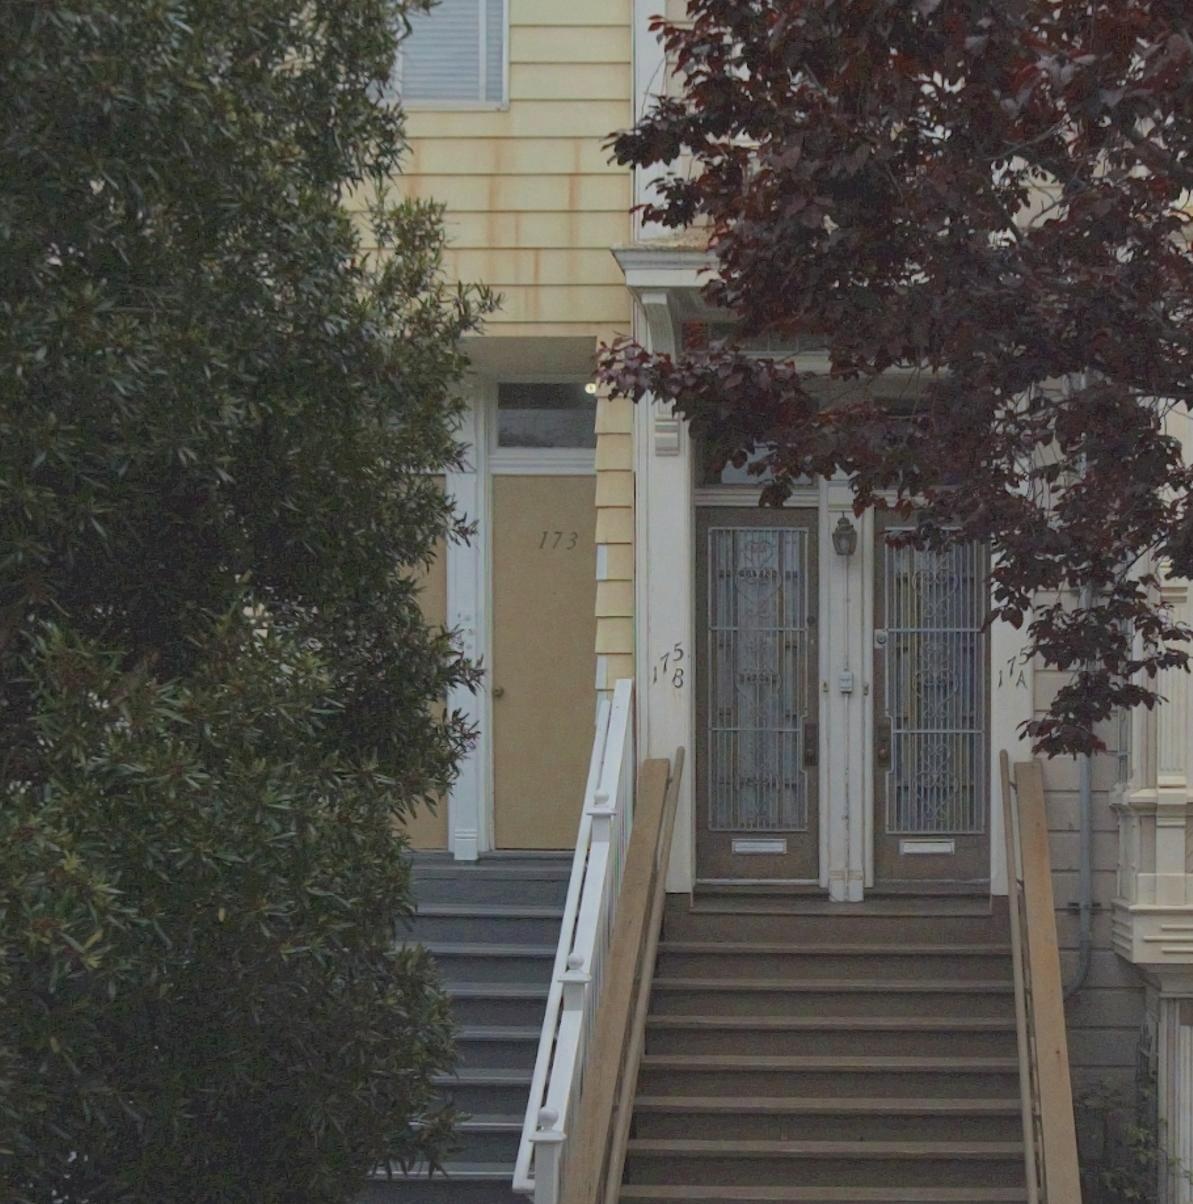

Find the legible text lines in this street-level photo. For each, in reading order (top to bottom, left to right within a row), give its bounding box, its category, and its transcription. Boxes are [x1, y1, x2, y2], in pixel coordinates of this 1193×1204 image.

[535, 529, 582, 552] StreetNumber: 173
[651, 637, 685, 688] StreetNumber: 175B
[996, 642, 1031, 691] StreetNumber: 175
[669, 668, 686, 692] StreetNumber: B
[1012, 667, 1029, 692] StreetNumber: A